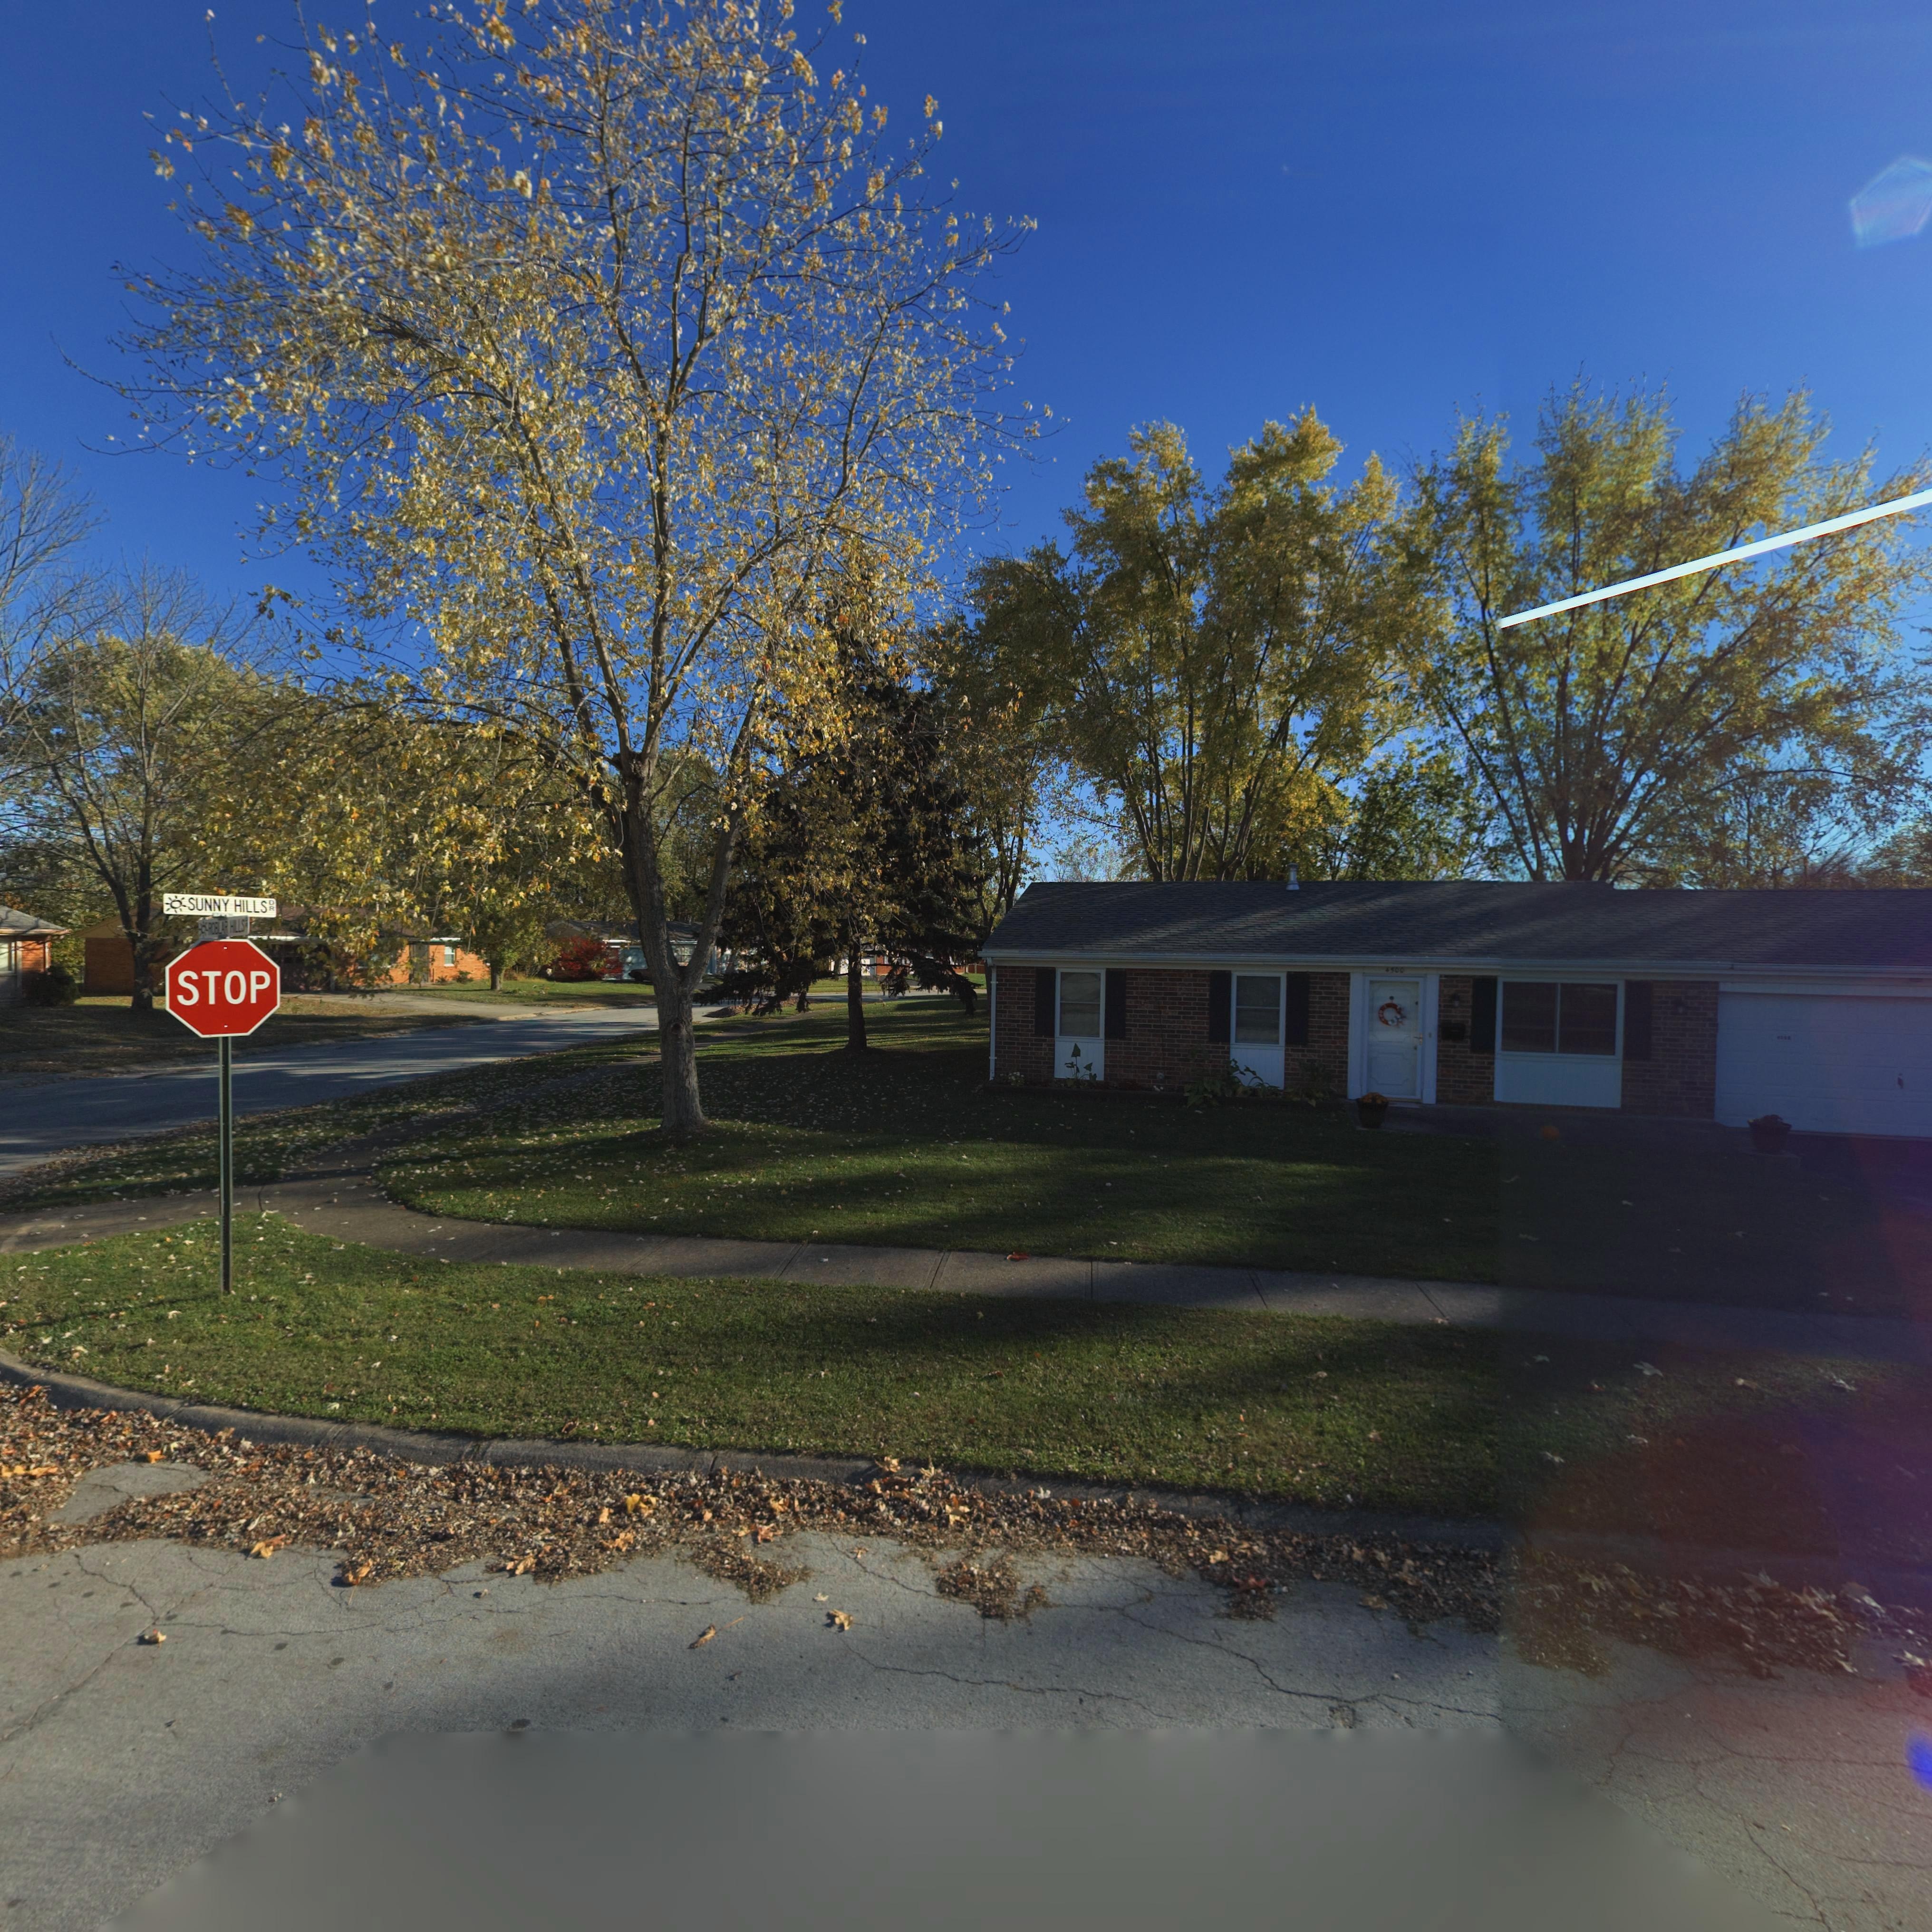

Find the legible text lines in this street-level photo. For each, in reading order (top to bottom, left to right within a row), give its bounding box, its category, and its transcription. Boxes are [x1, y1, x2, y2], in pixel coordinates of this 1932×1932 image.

[1384, 966, 1405, 973] StreetNumber: 4500
[1777, 1035, 1791, 1040] StreetNumber: 4***